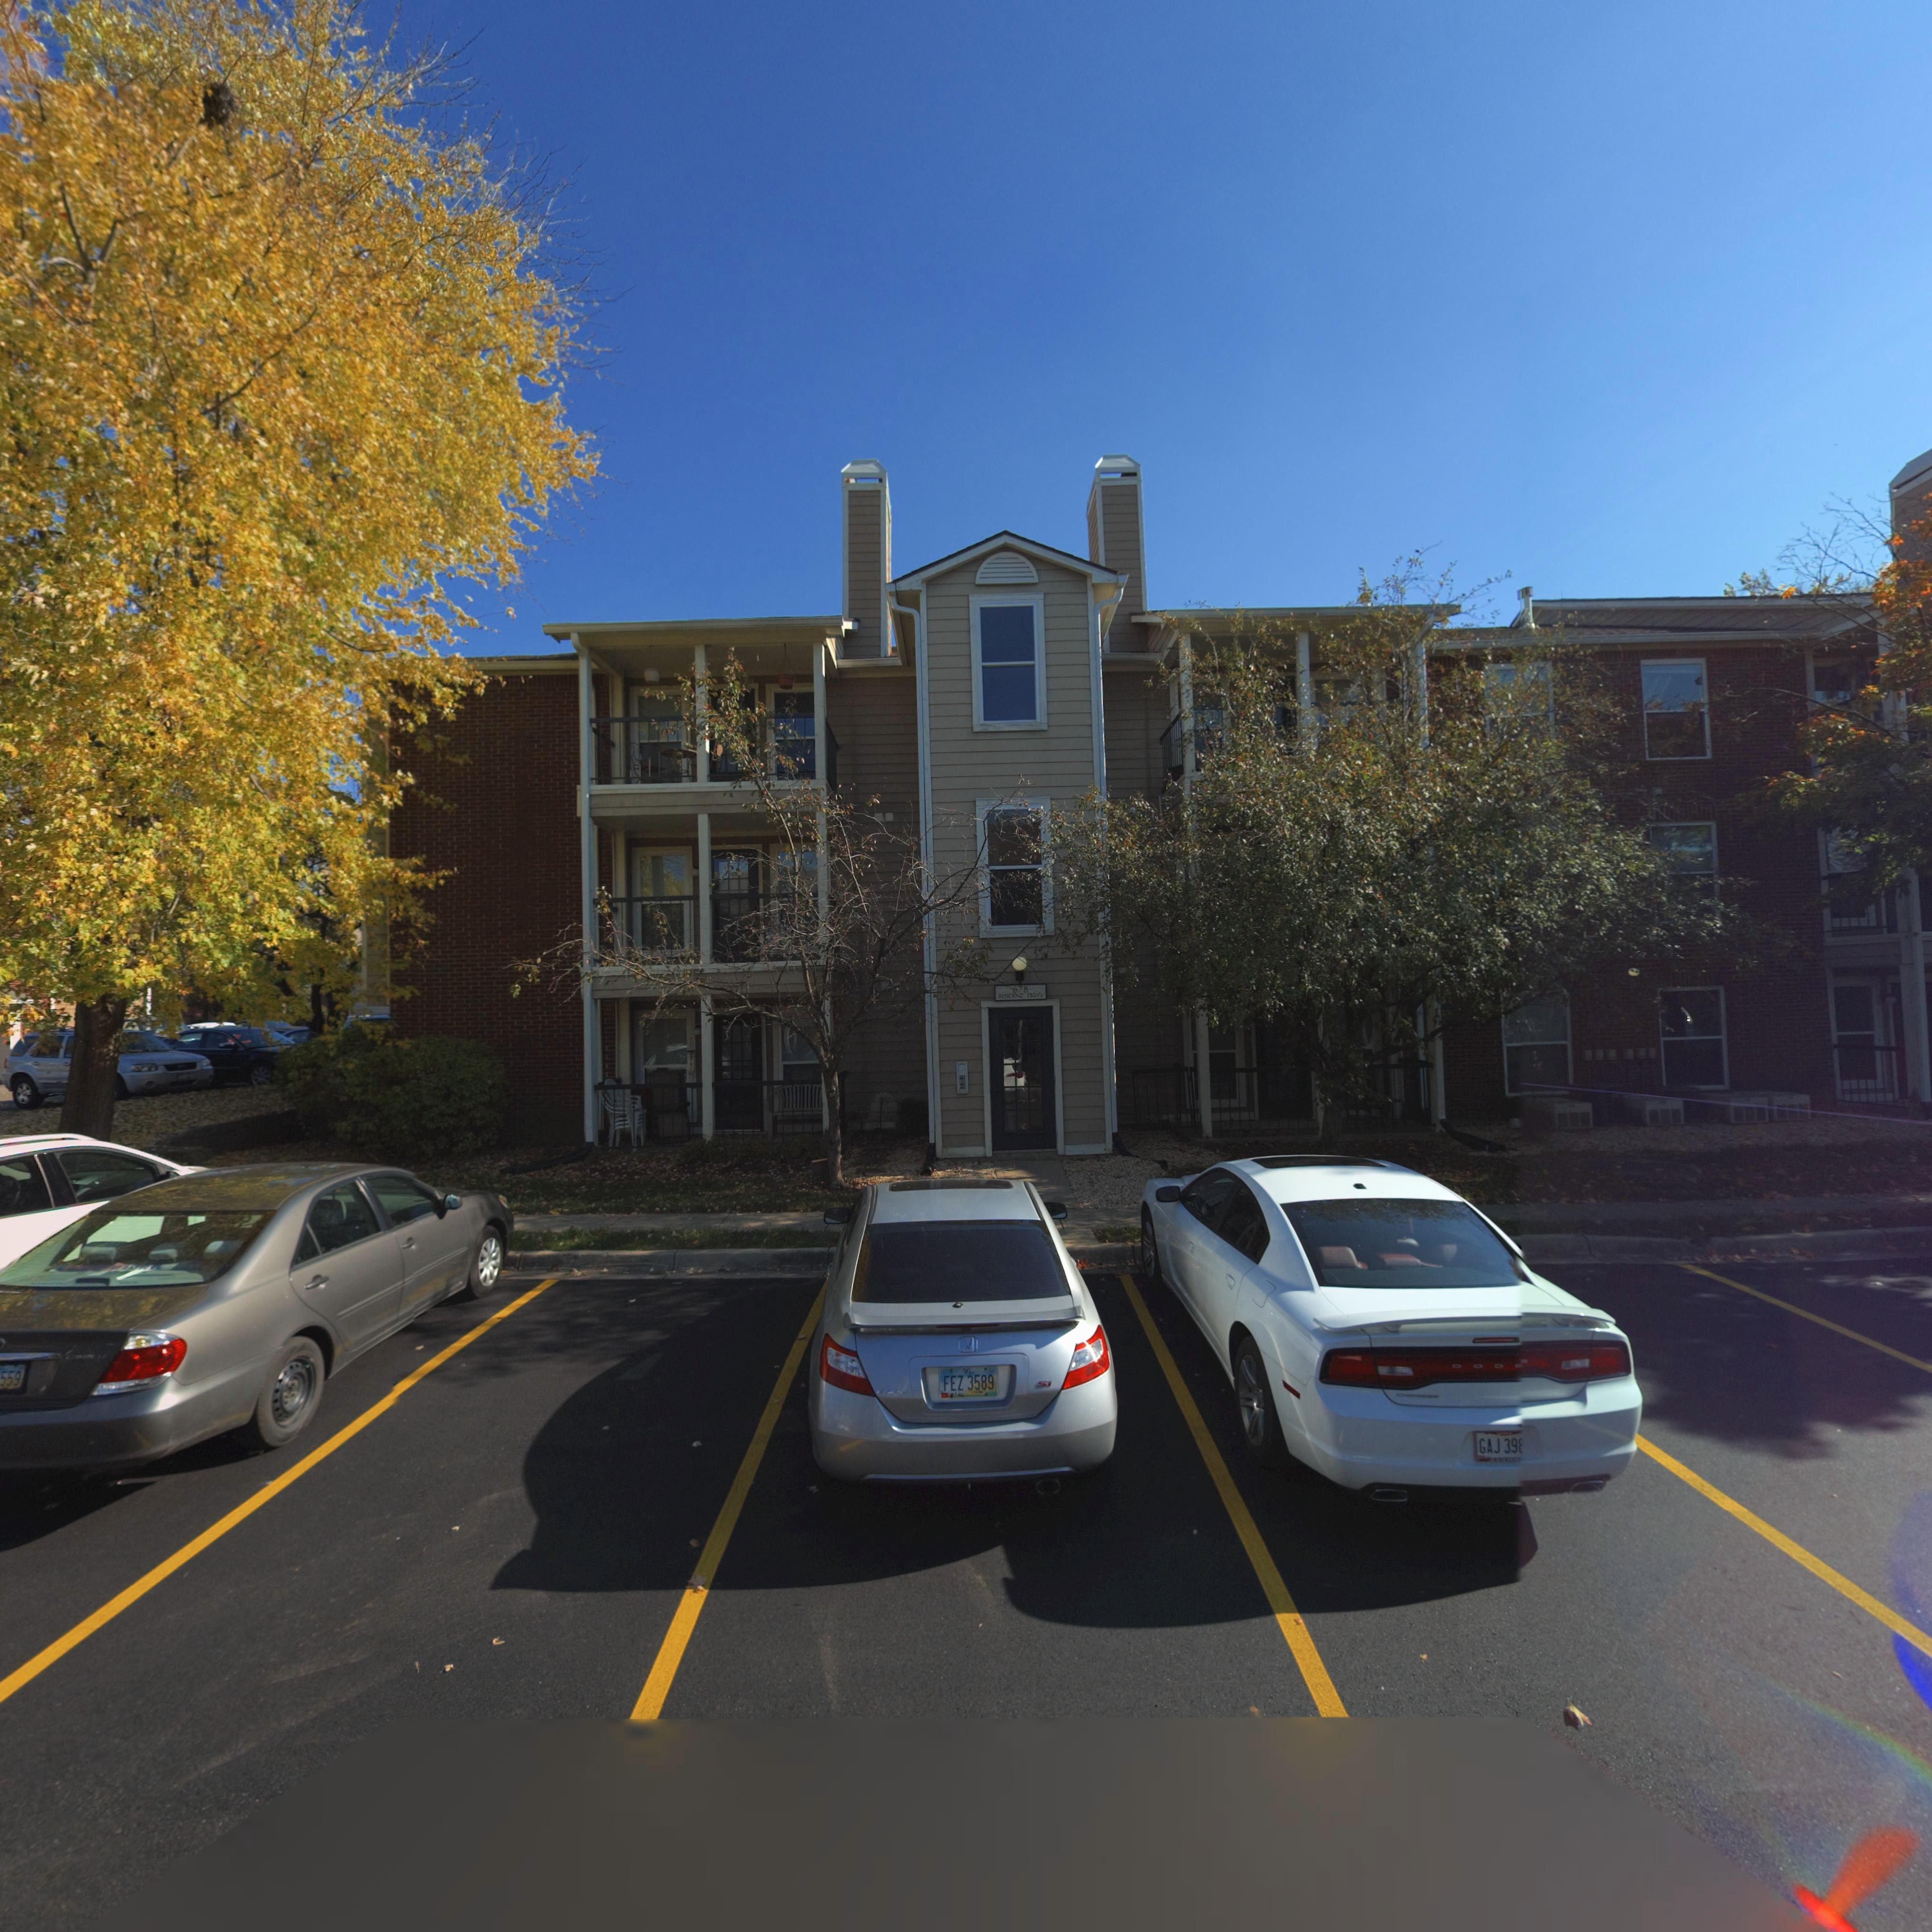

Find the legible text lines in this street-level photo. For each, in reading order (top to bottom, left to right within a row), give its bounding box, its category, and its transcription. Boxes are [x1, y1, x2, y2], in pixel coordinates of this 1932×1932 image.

[1012, 985, 1030, 994] StreetNumber: 678
[997, 991, 1045, 1000] StreetName: RESIDENZ PKWY
[1452, 1362, 1505, 1370] None: DOD
[0, 1370, 22, 1388] None: 559
[942, 1373, 995, 1392] None: FEZ 3589
[1035, 1379, 1053, 1389] None: SI
[1477, 1436, 1519, 1456] None: GAJ 39